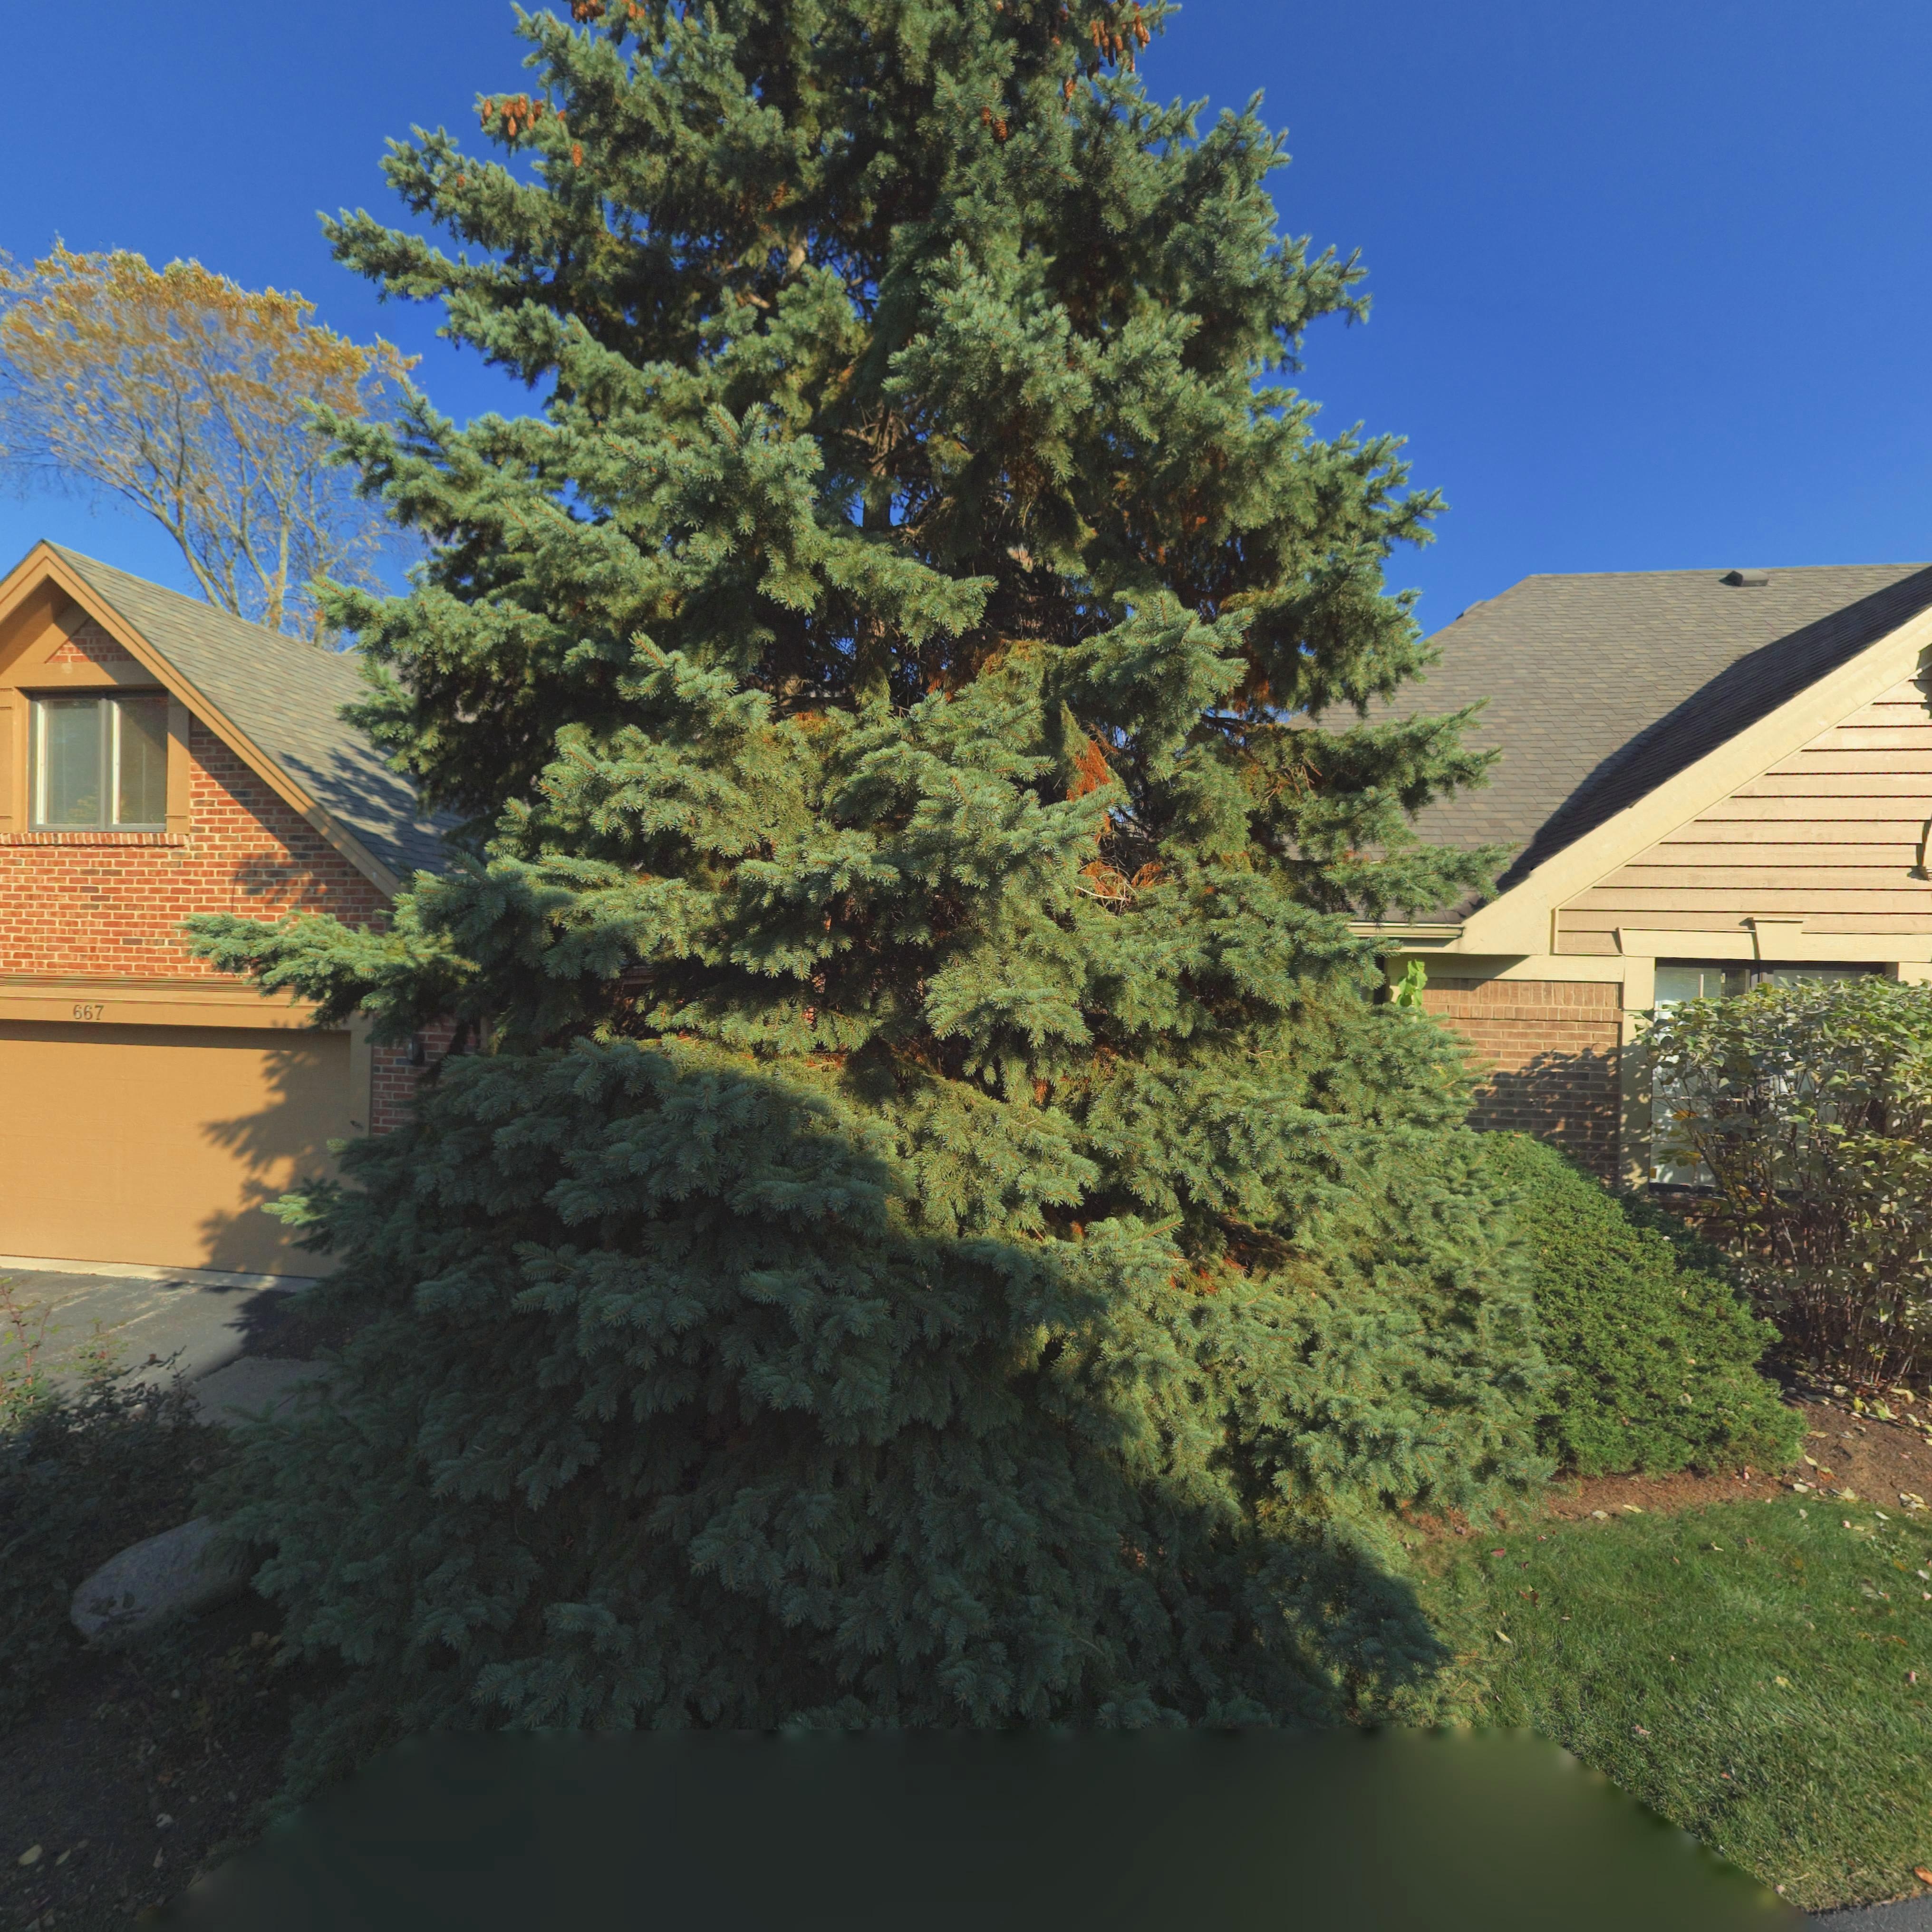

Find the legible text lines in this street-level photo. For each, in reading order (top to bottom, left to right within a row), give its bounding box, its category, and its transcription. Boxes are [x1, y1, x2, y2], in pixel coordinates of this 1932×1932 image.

[71, 1004, 106, 1021] StreetNumber: 667